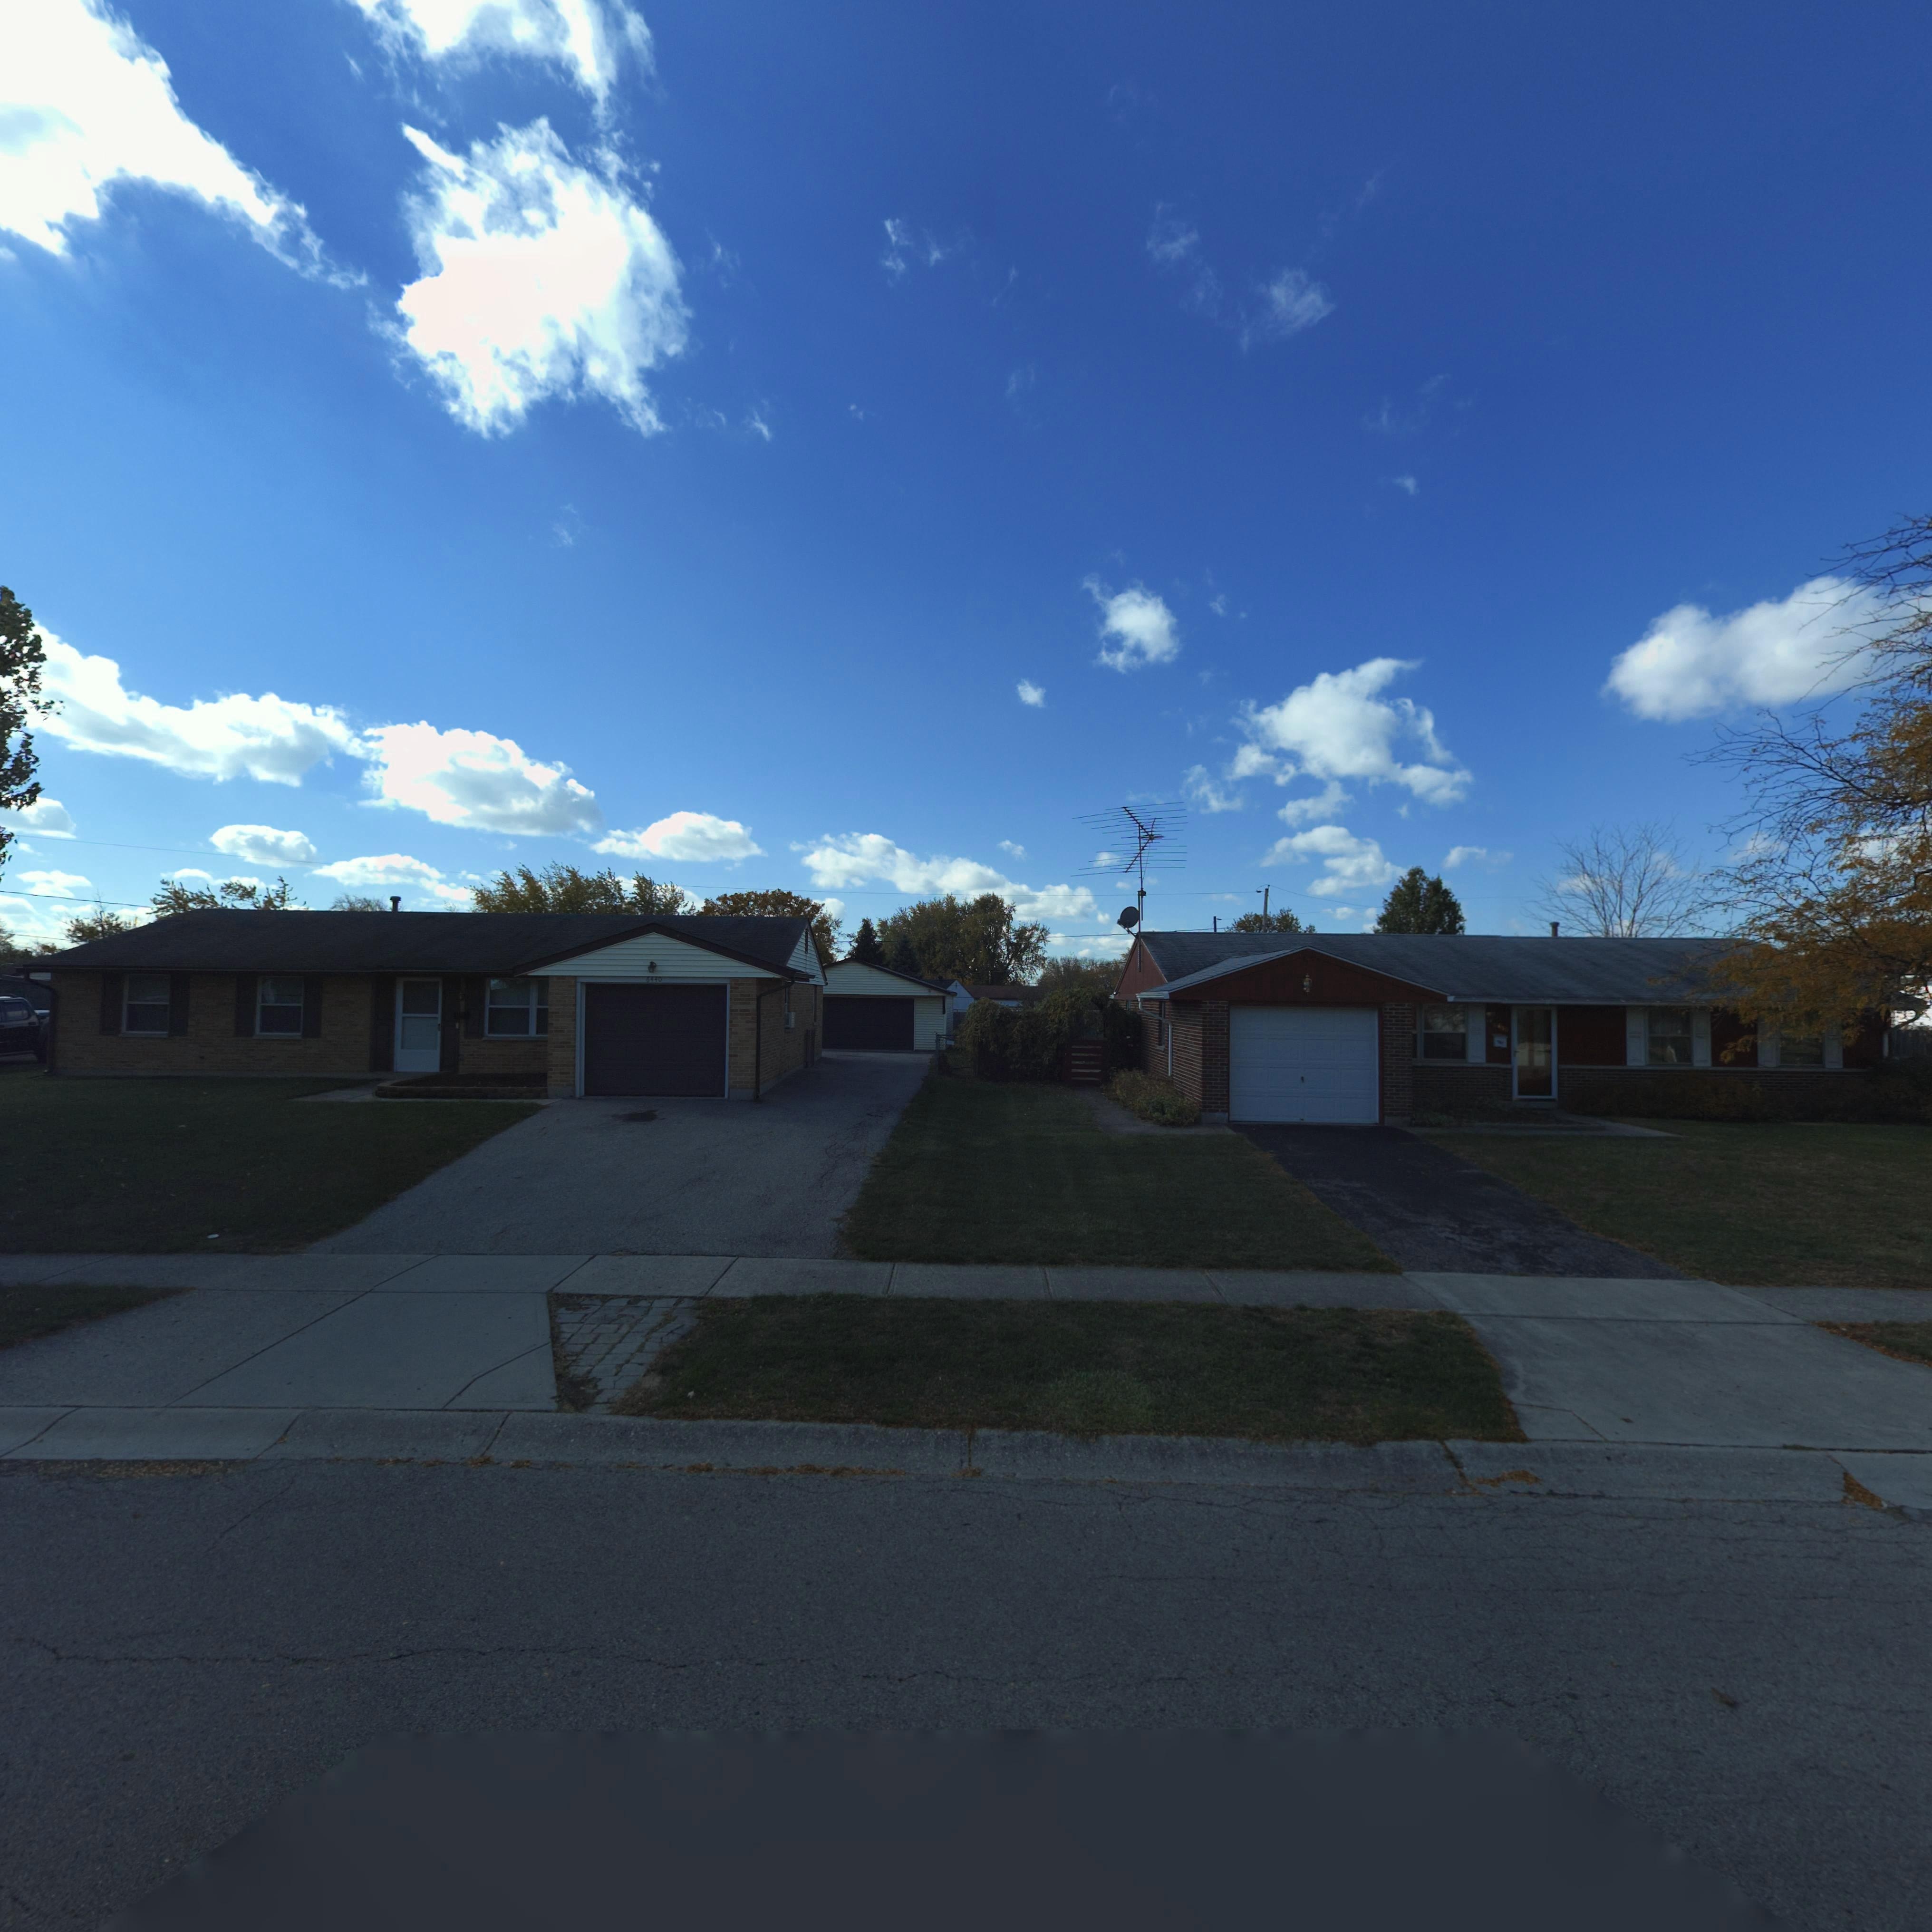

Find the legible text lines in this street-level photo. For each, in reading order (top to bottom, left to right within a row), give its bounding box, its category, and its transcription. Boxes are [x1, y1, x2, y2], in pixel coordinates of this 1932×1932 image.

[646, 976, 662, 983] StreetNumber: 6440
[1492, 1021, 1509, 1033] StreetNumber: 6**0